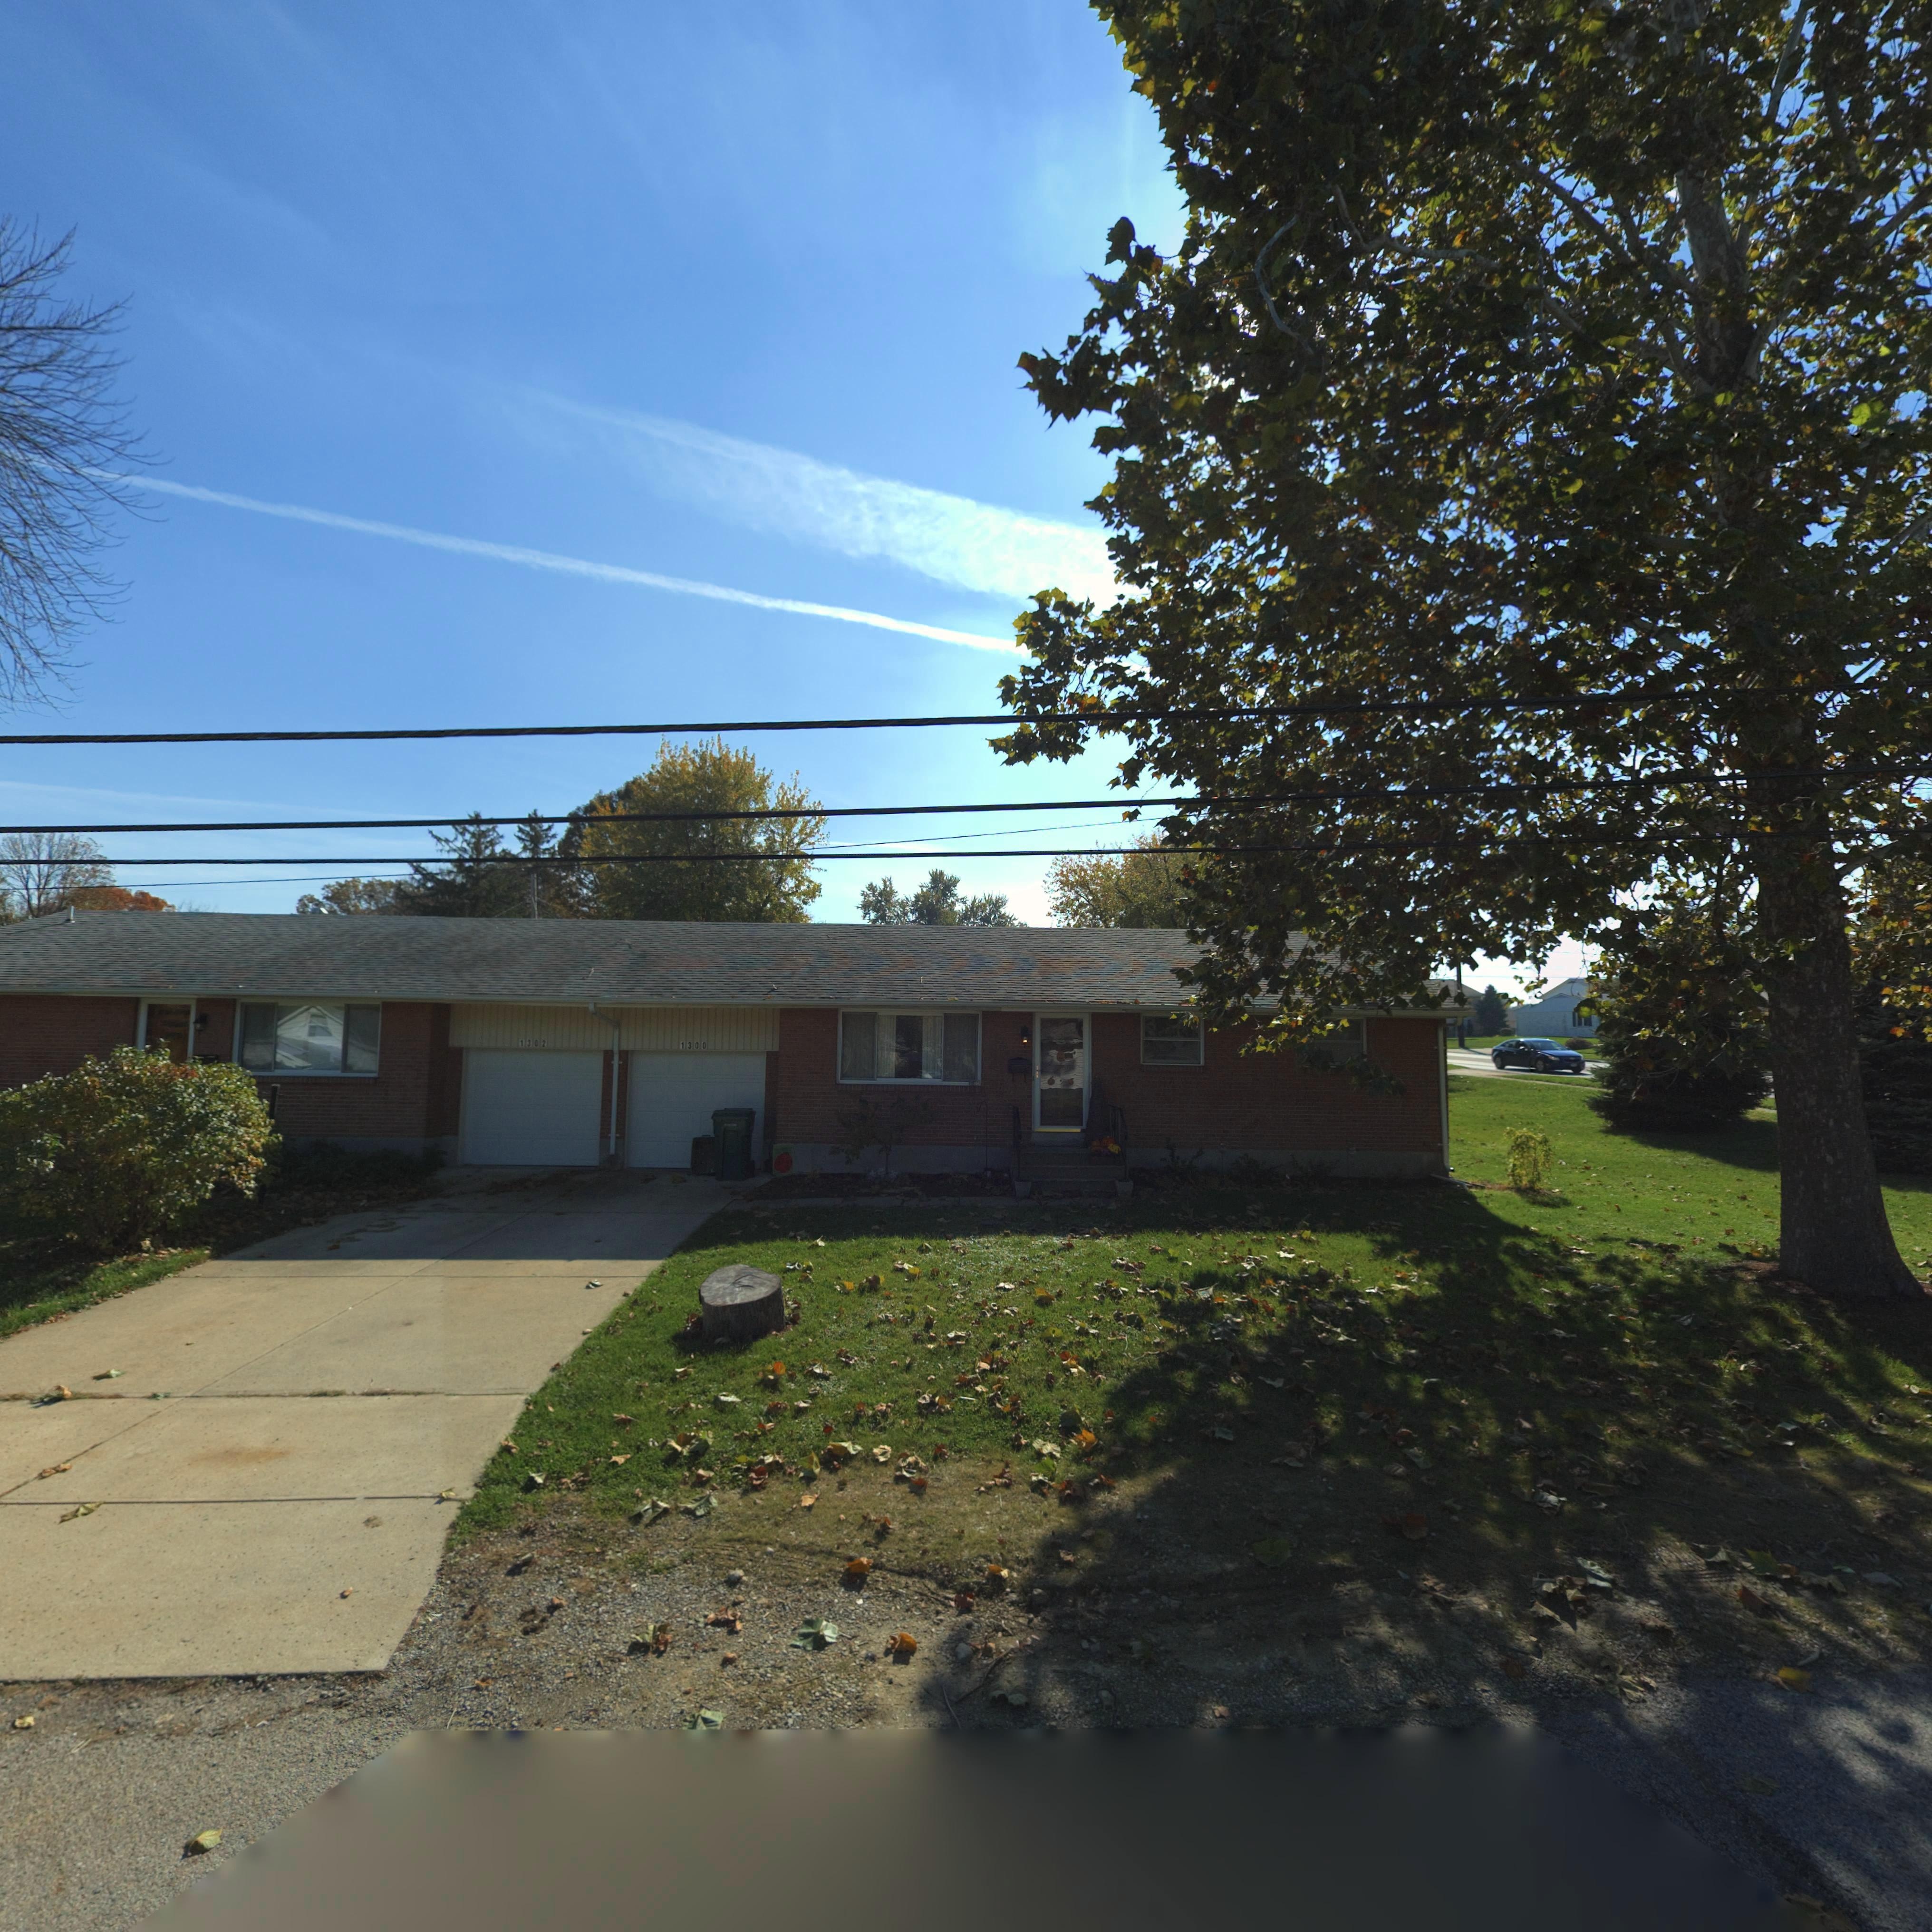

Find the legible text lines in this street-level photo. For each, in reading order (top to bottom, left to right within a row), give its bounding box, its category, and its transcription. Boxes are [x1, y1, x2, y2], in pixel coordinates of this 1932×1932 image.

[519, 1039, 547, 1047] StreetNumber: 1302
[680, 1041, 706, 1050] StreetNumber: 1300